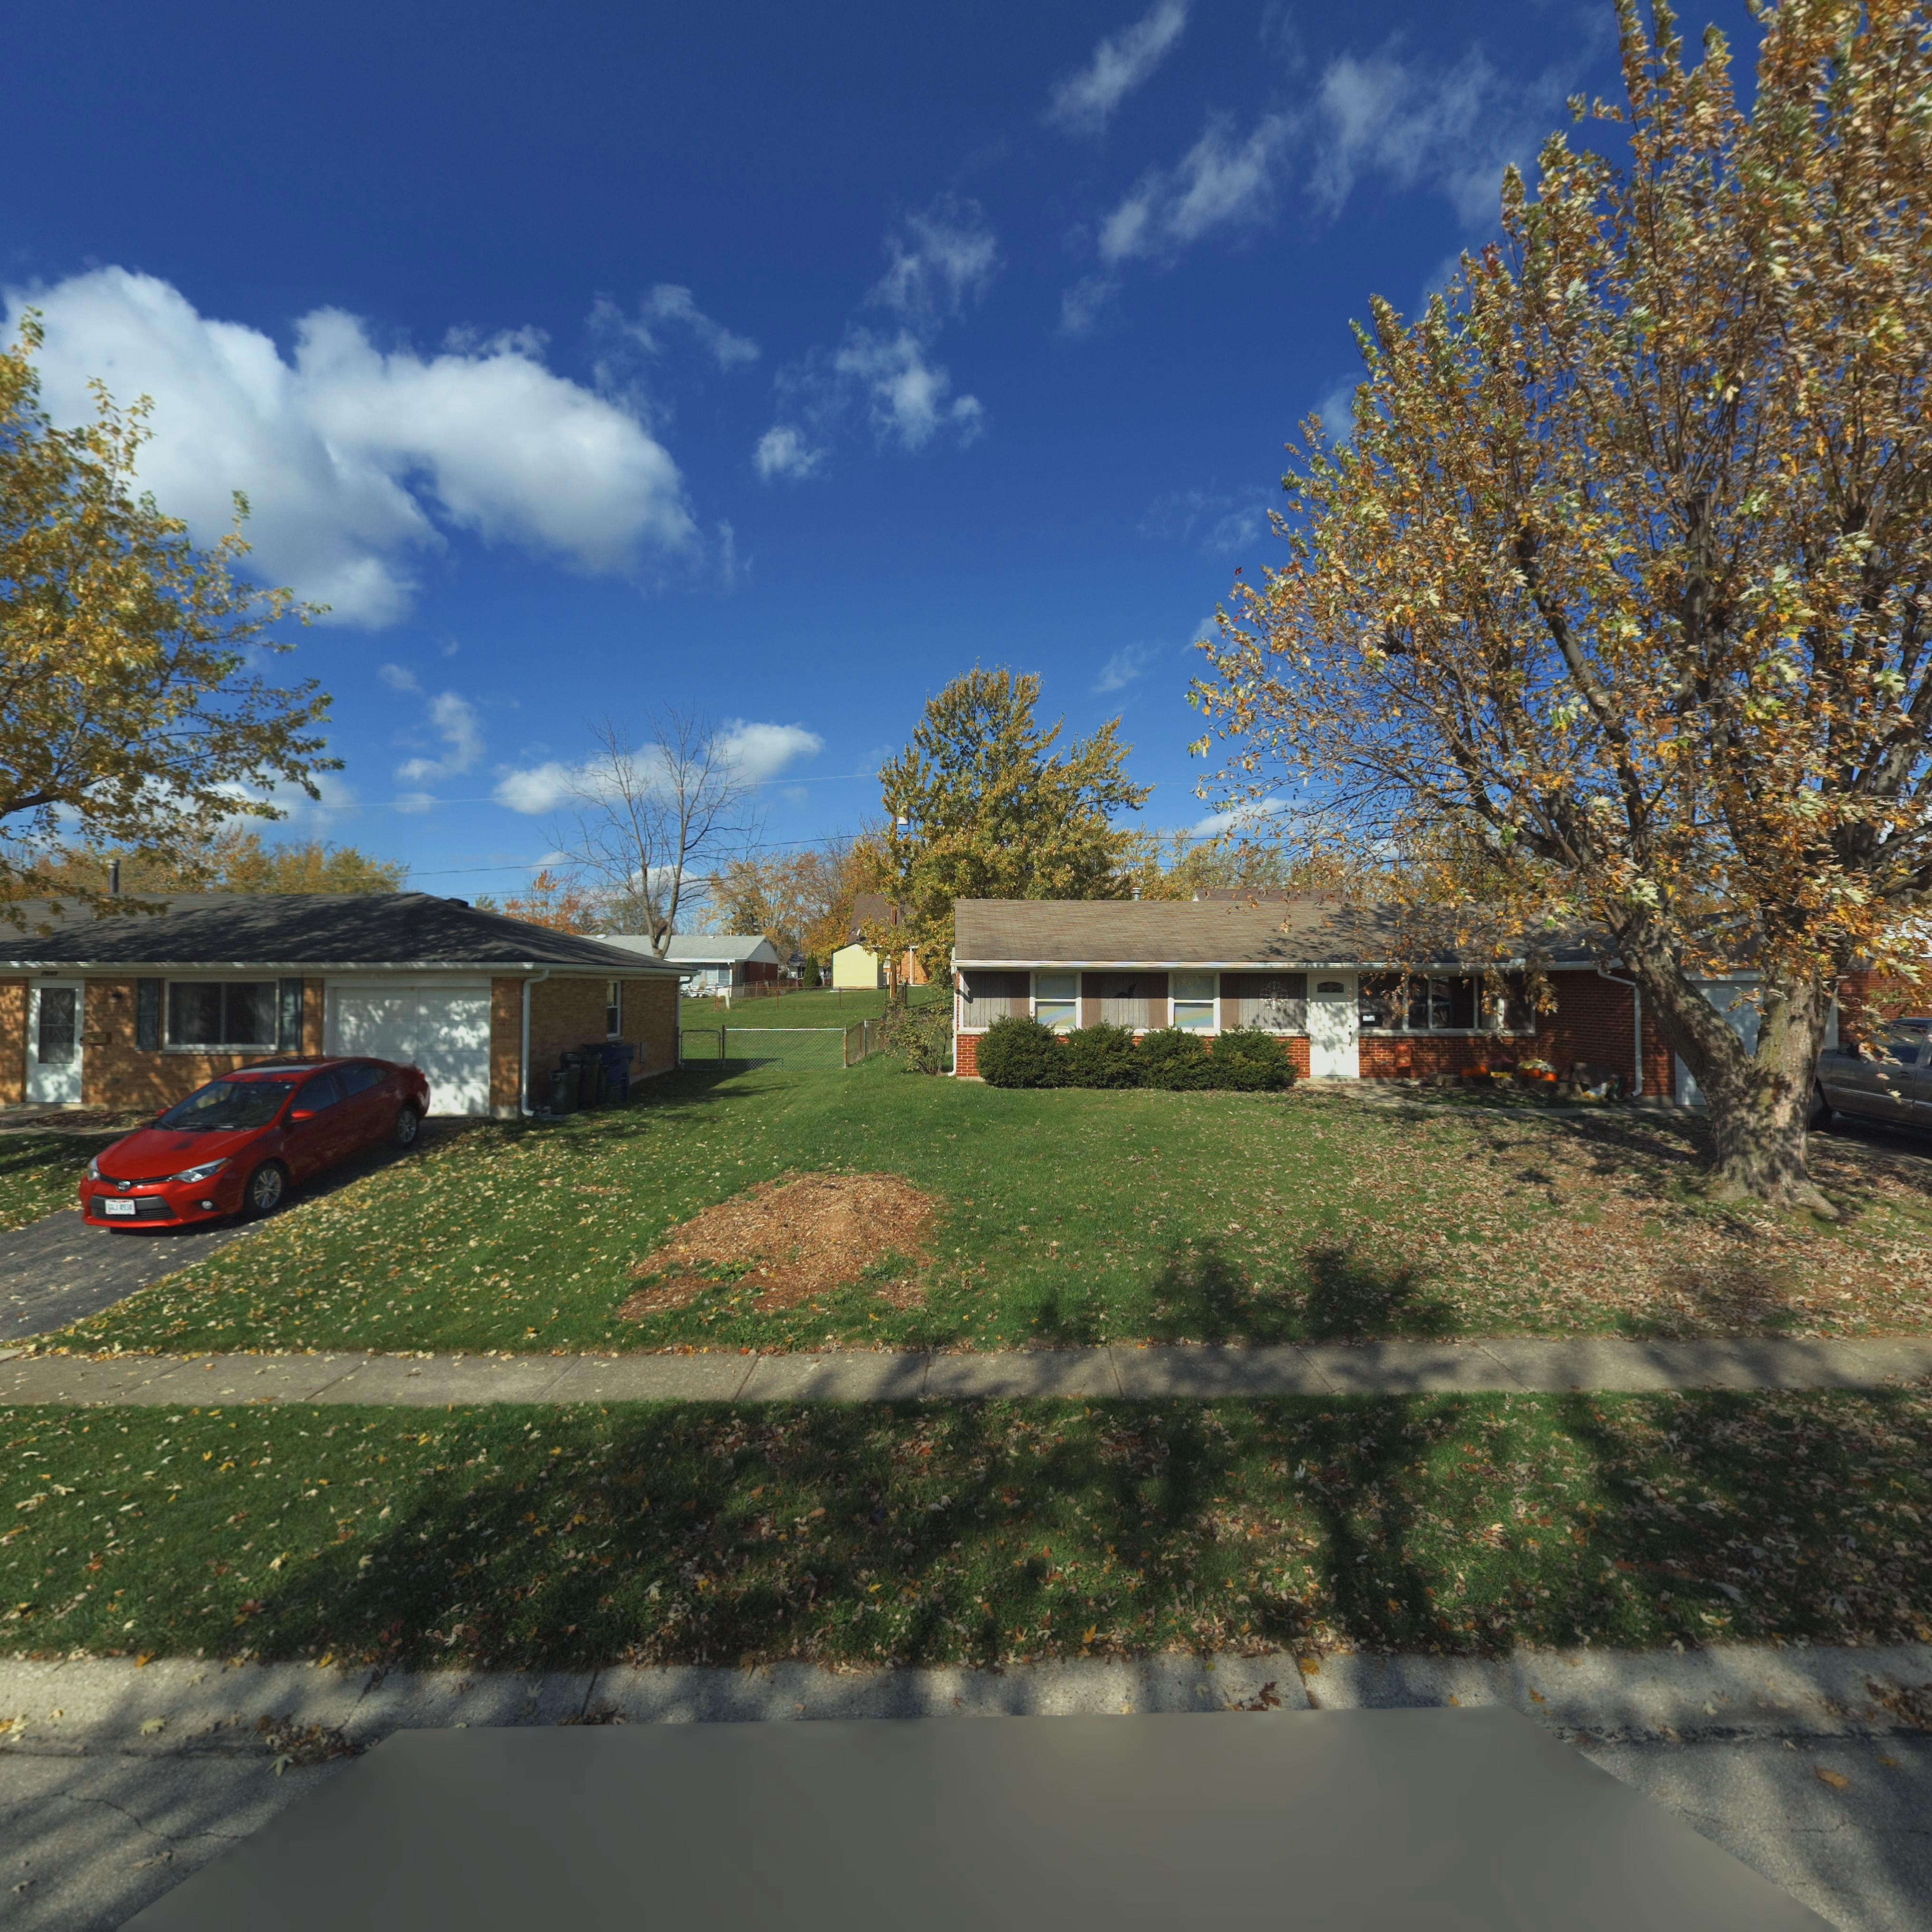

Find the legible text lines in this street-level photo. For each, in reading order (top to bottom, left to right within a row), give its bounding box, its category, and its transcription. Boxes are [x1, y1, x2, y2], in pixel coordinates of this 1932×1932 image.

[1362, 998, 1380, 1013] StreetNumber: 7657